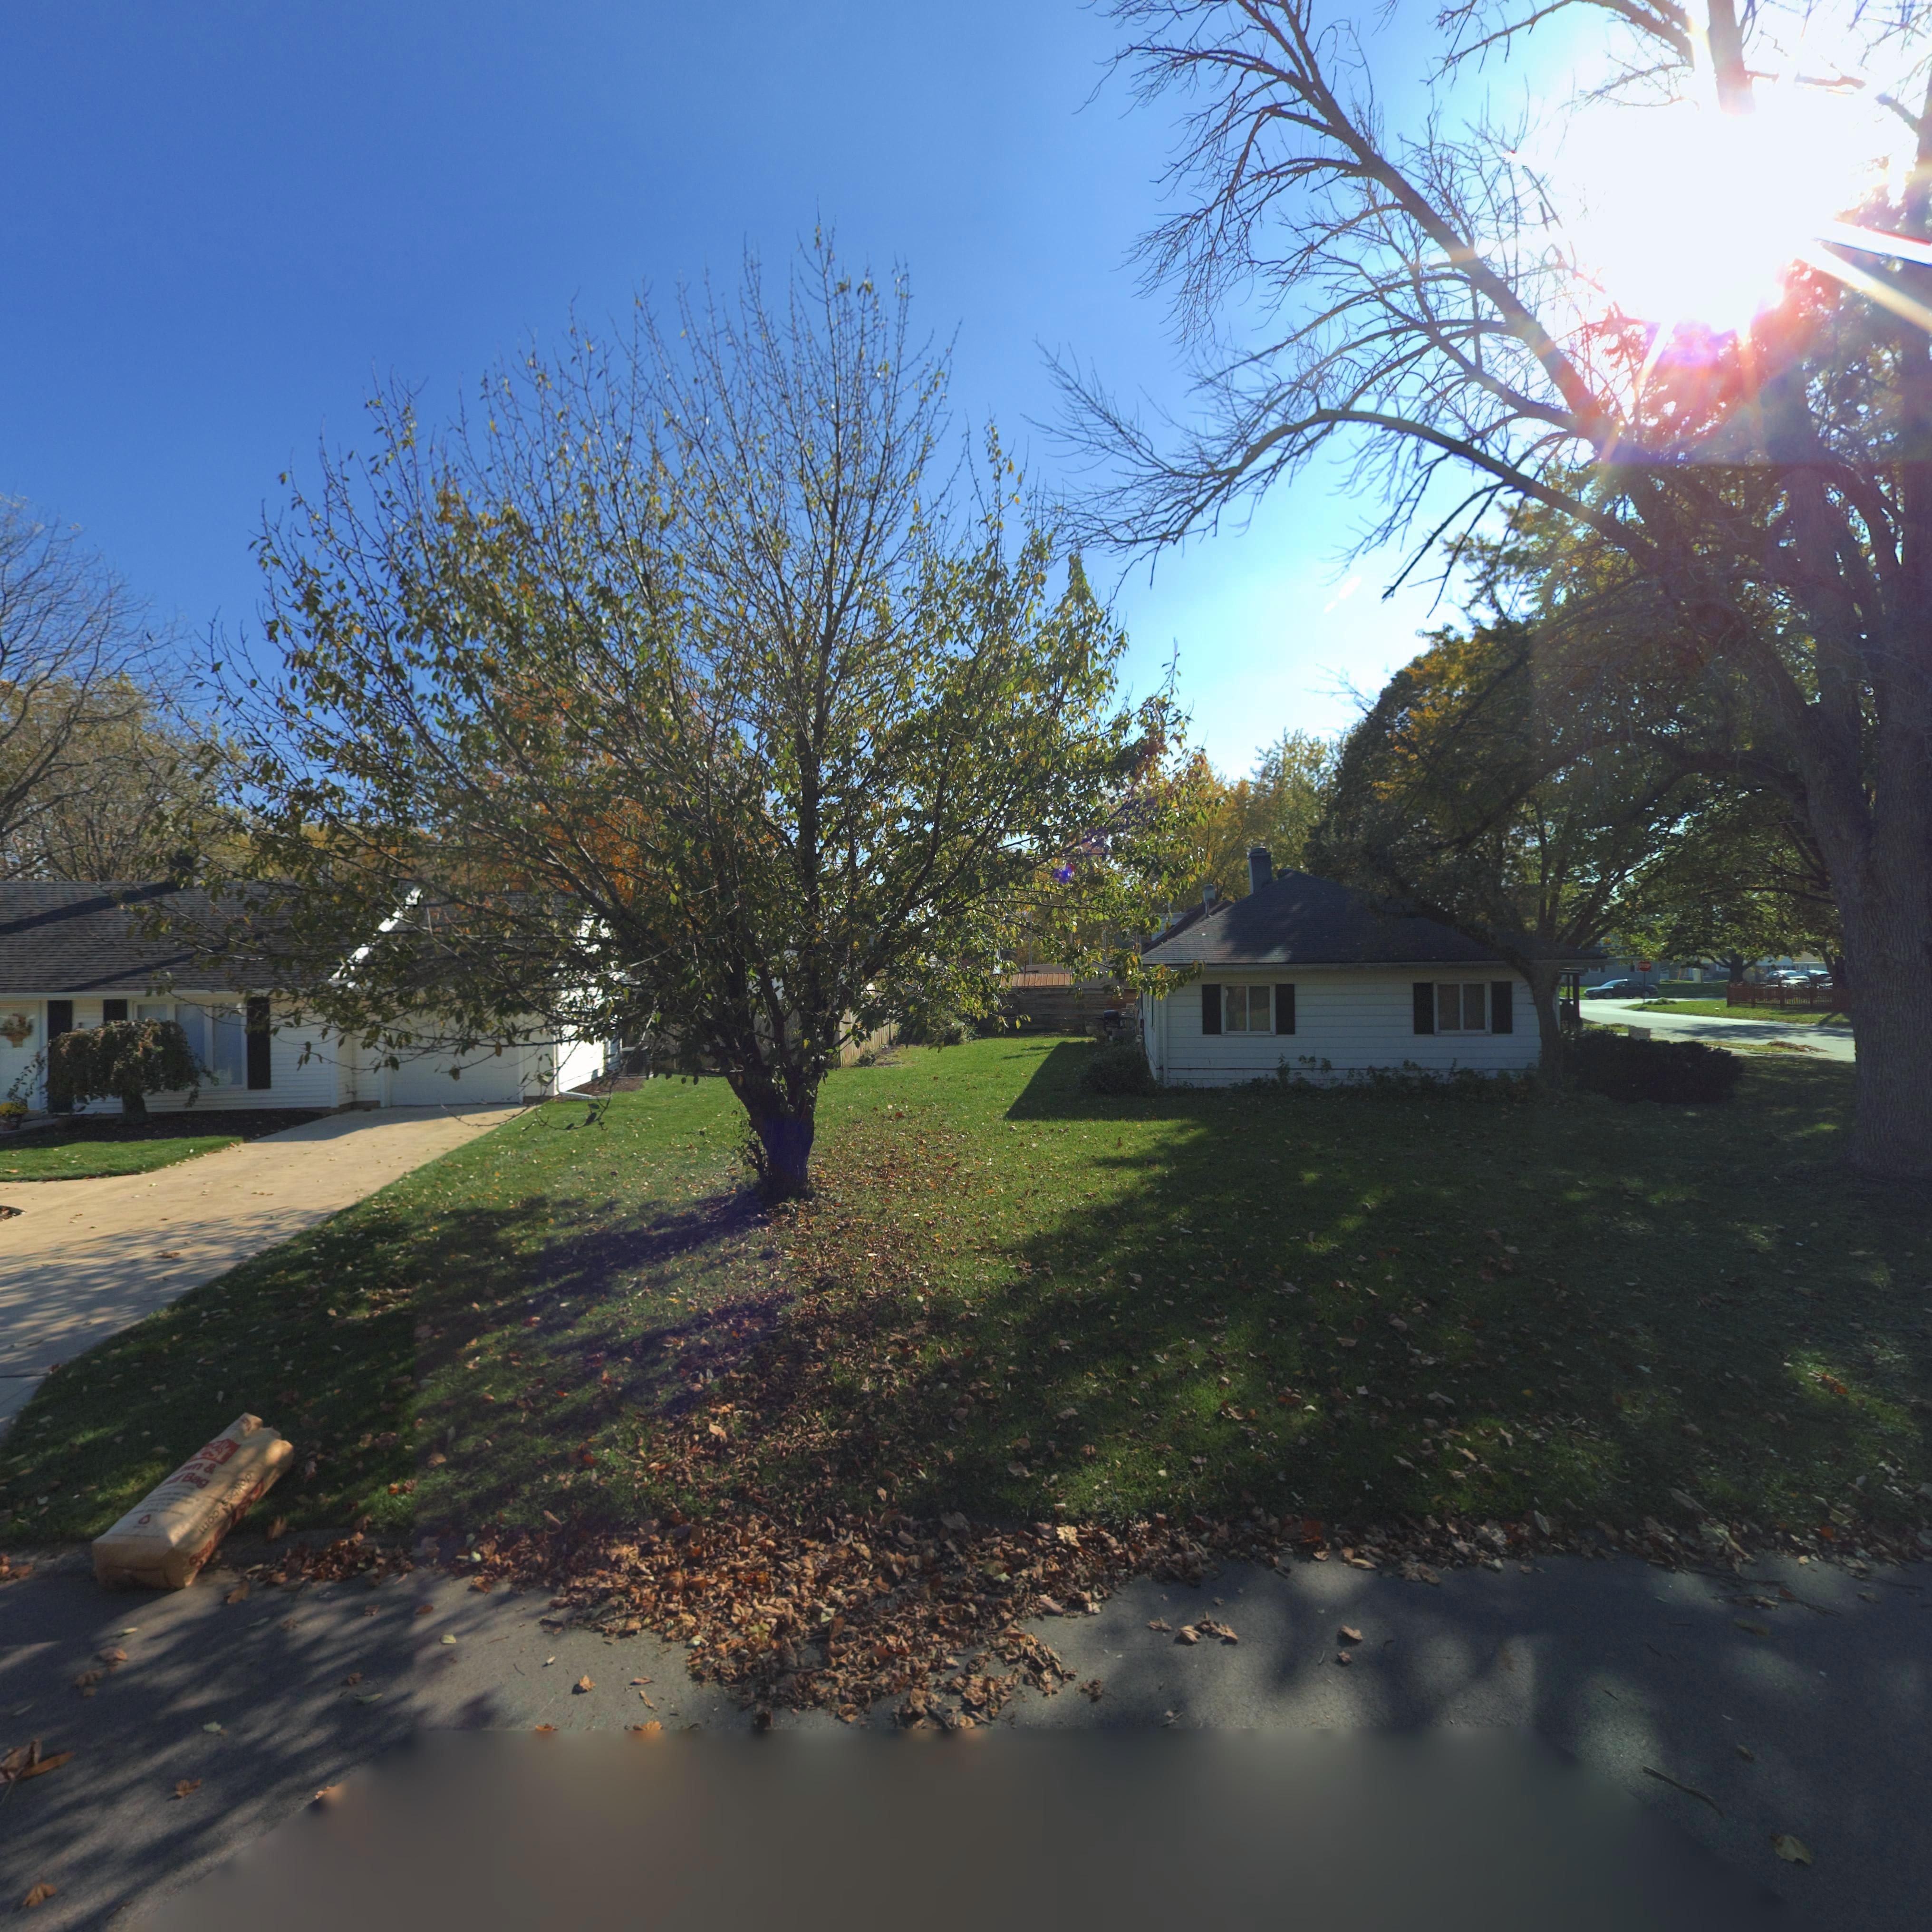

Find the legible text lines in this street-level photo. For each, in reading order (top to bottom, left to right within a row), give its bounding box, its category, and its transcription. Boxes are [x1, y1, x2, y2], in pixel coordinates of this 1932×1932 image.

[178, 1468, 213, 1492] None: Bag